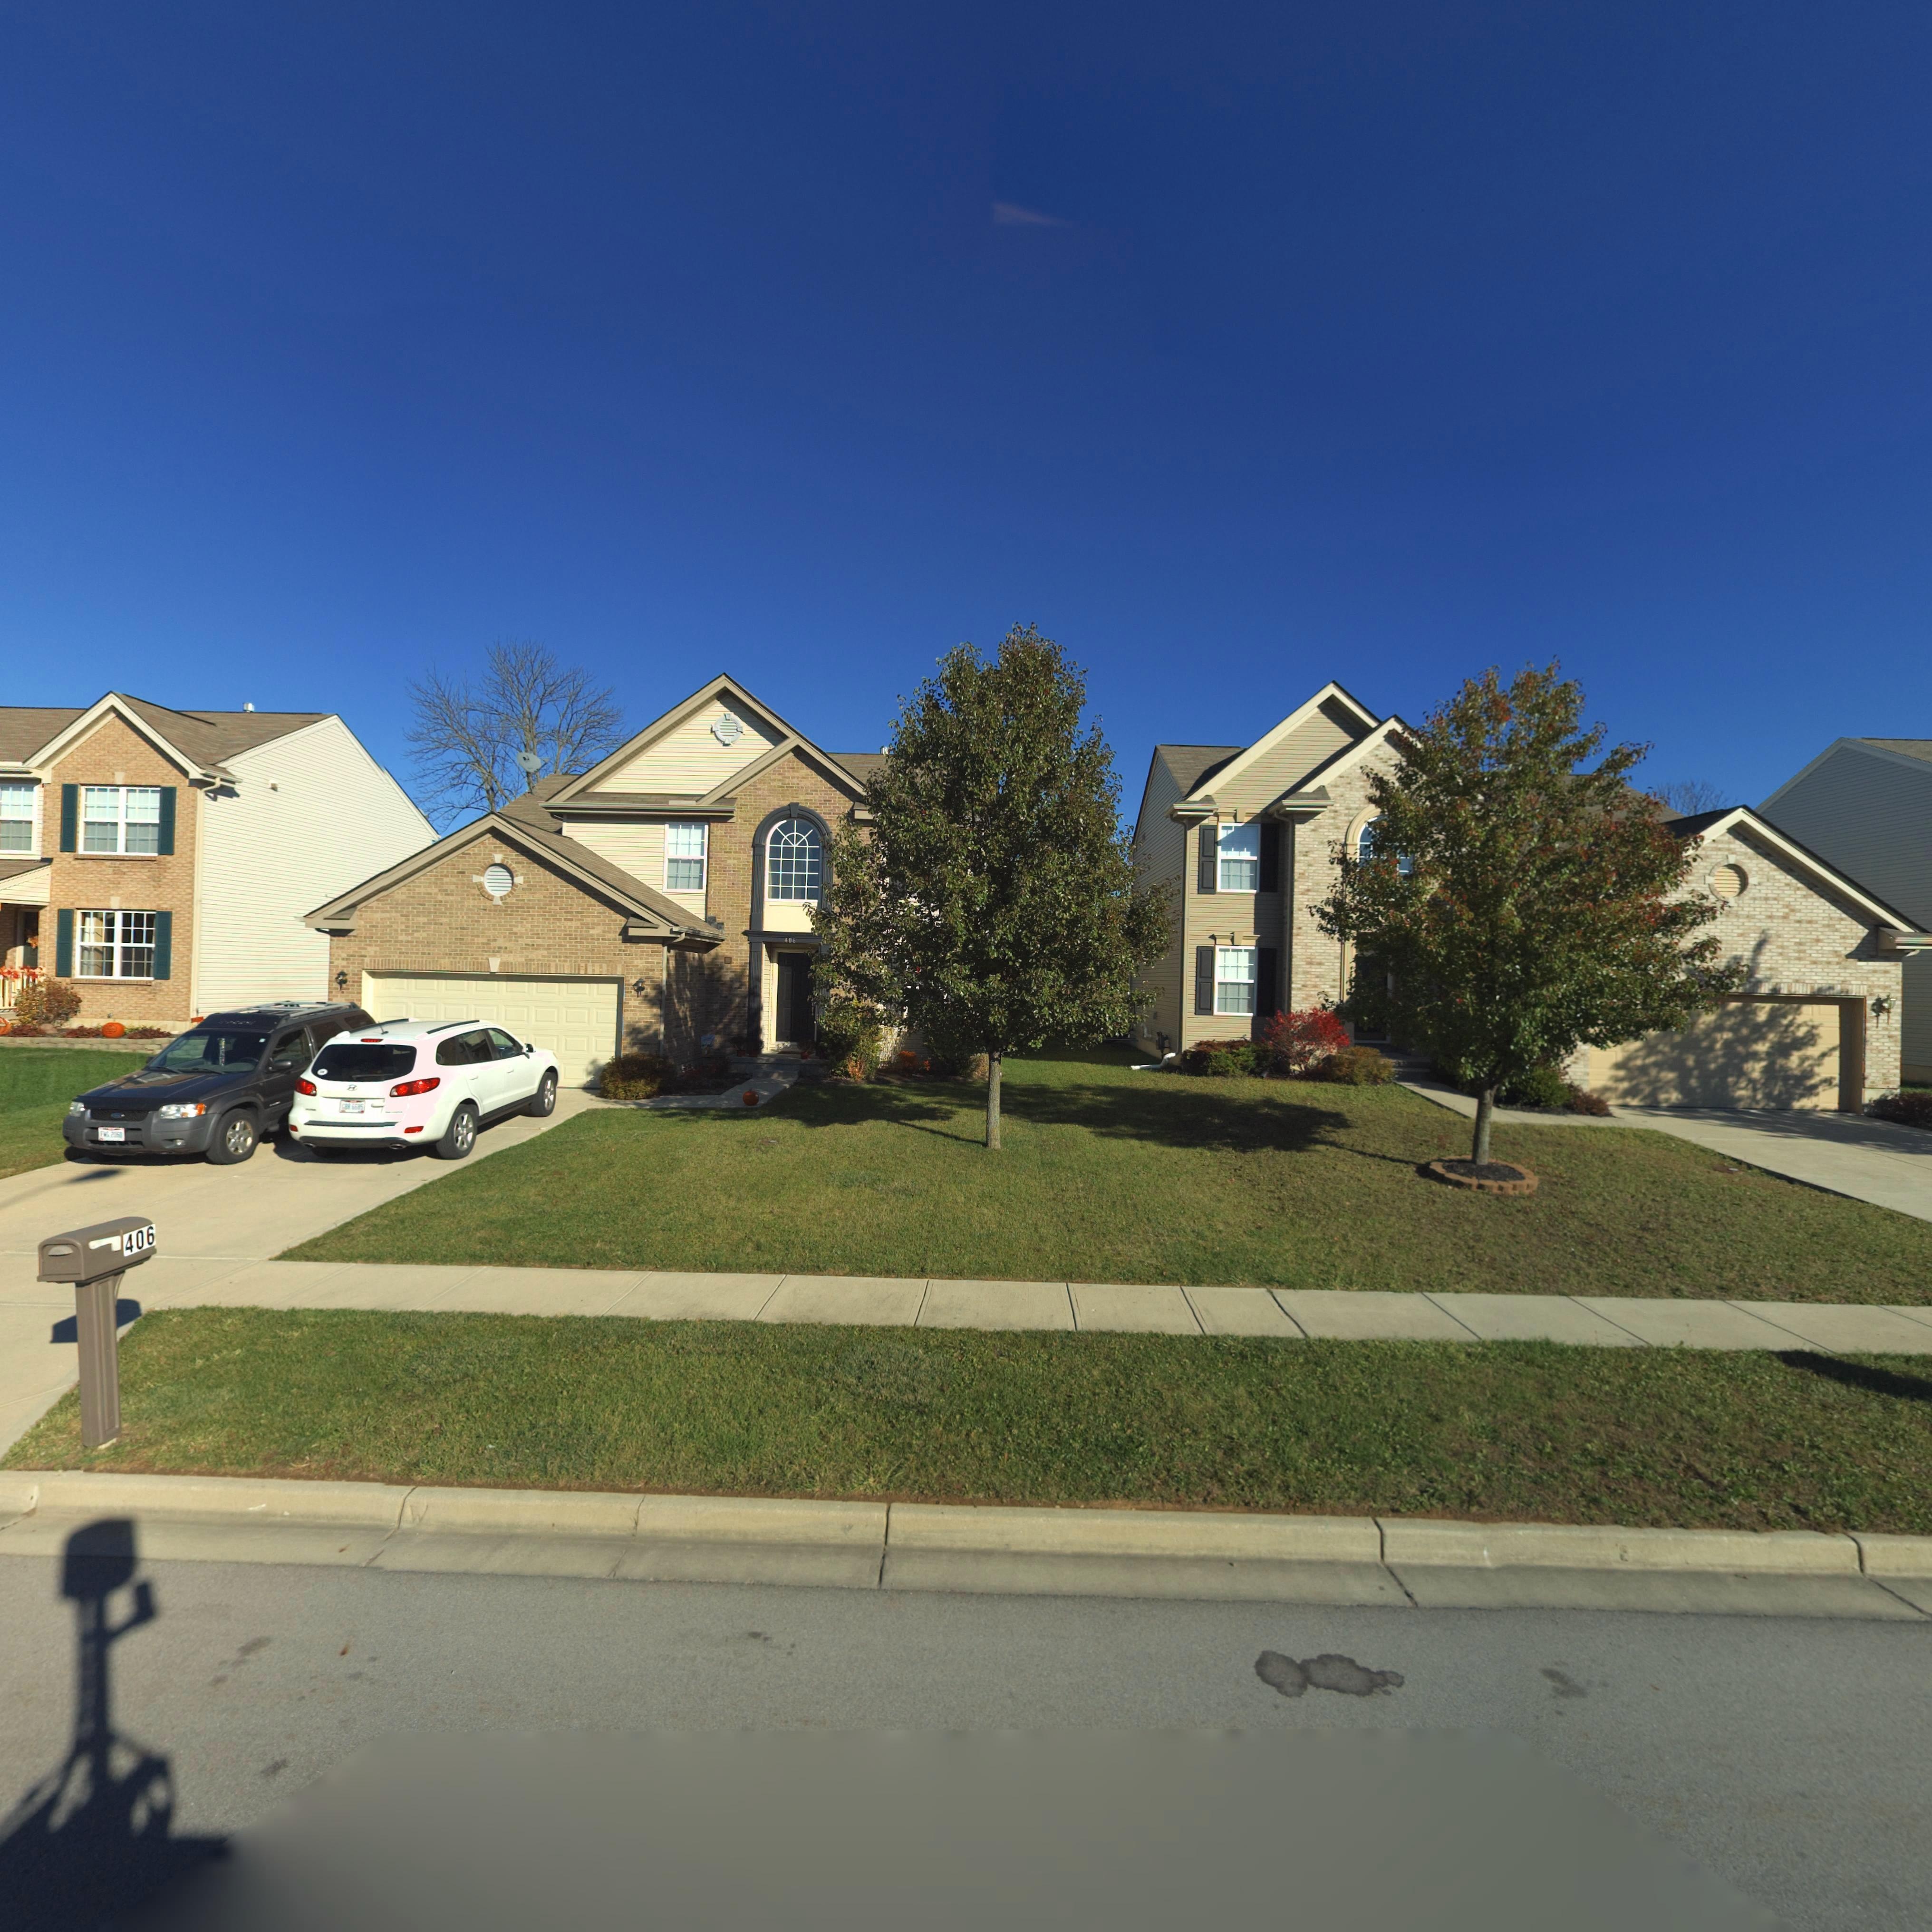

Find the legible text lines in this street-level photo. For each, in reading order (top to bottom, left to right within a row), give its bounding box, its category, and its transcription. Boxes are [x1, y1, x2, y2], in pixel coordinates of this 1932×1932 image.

[783, 937, 797, 944] StreetNumber: 406
[125, 1225, 155, 1254] StreetNumber: 406